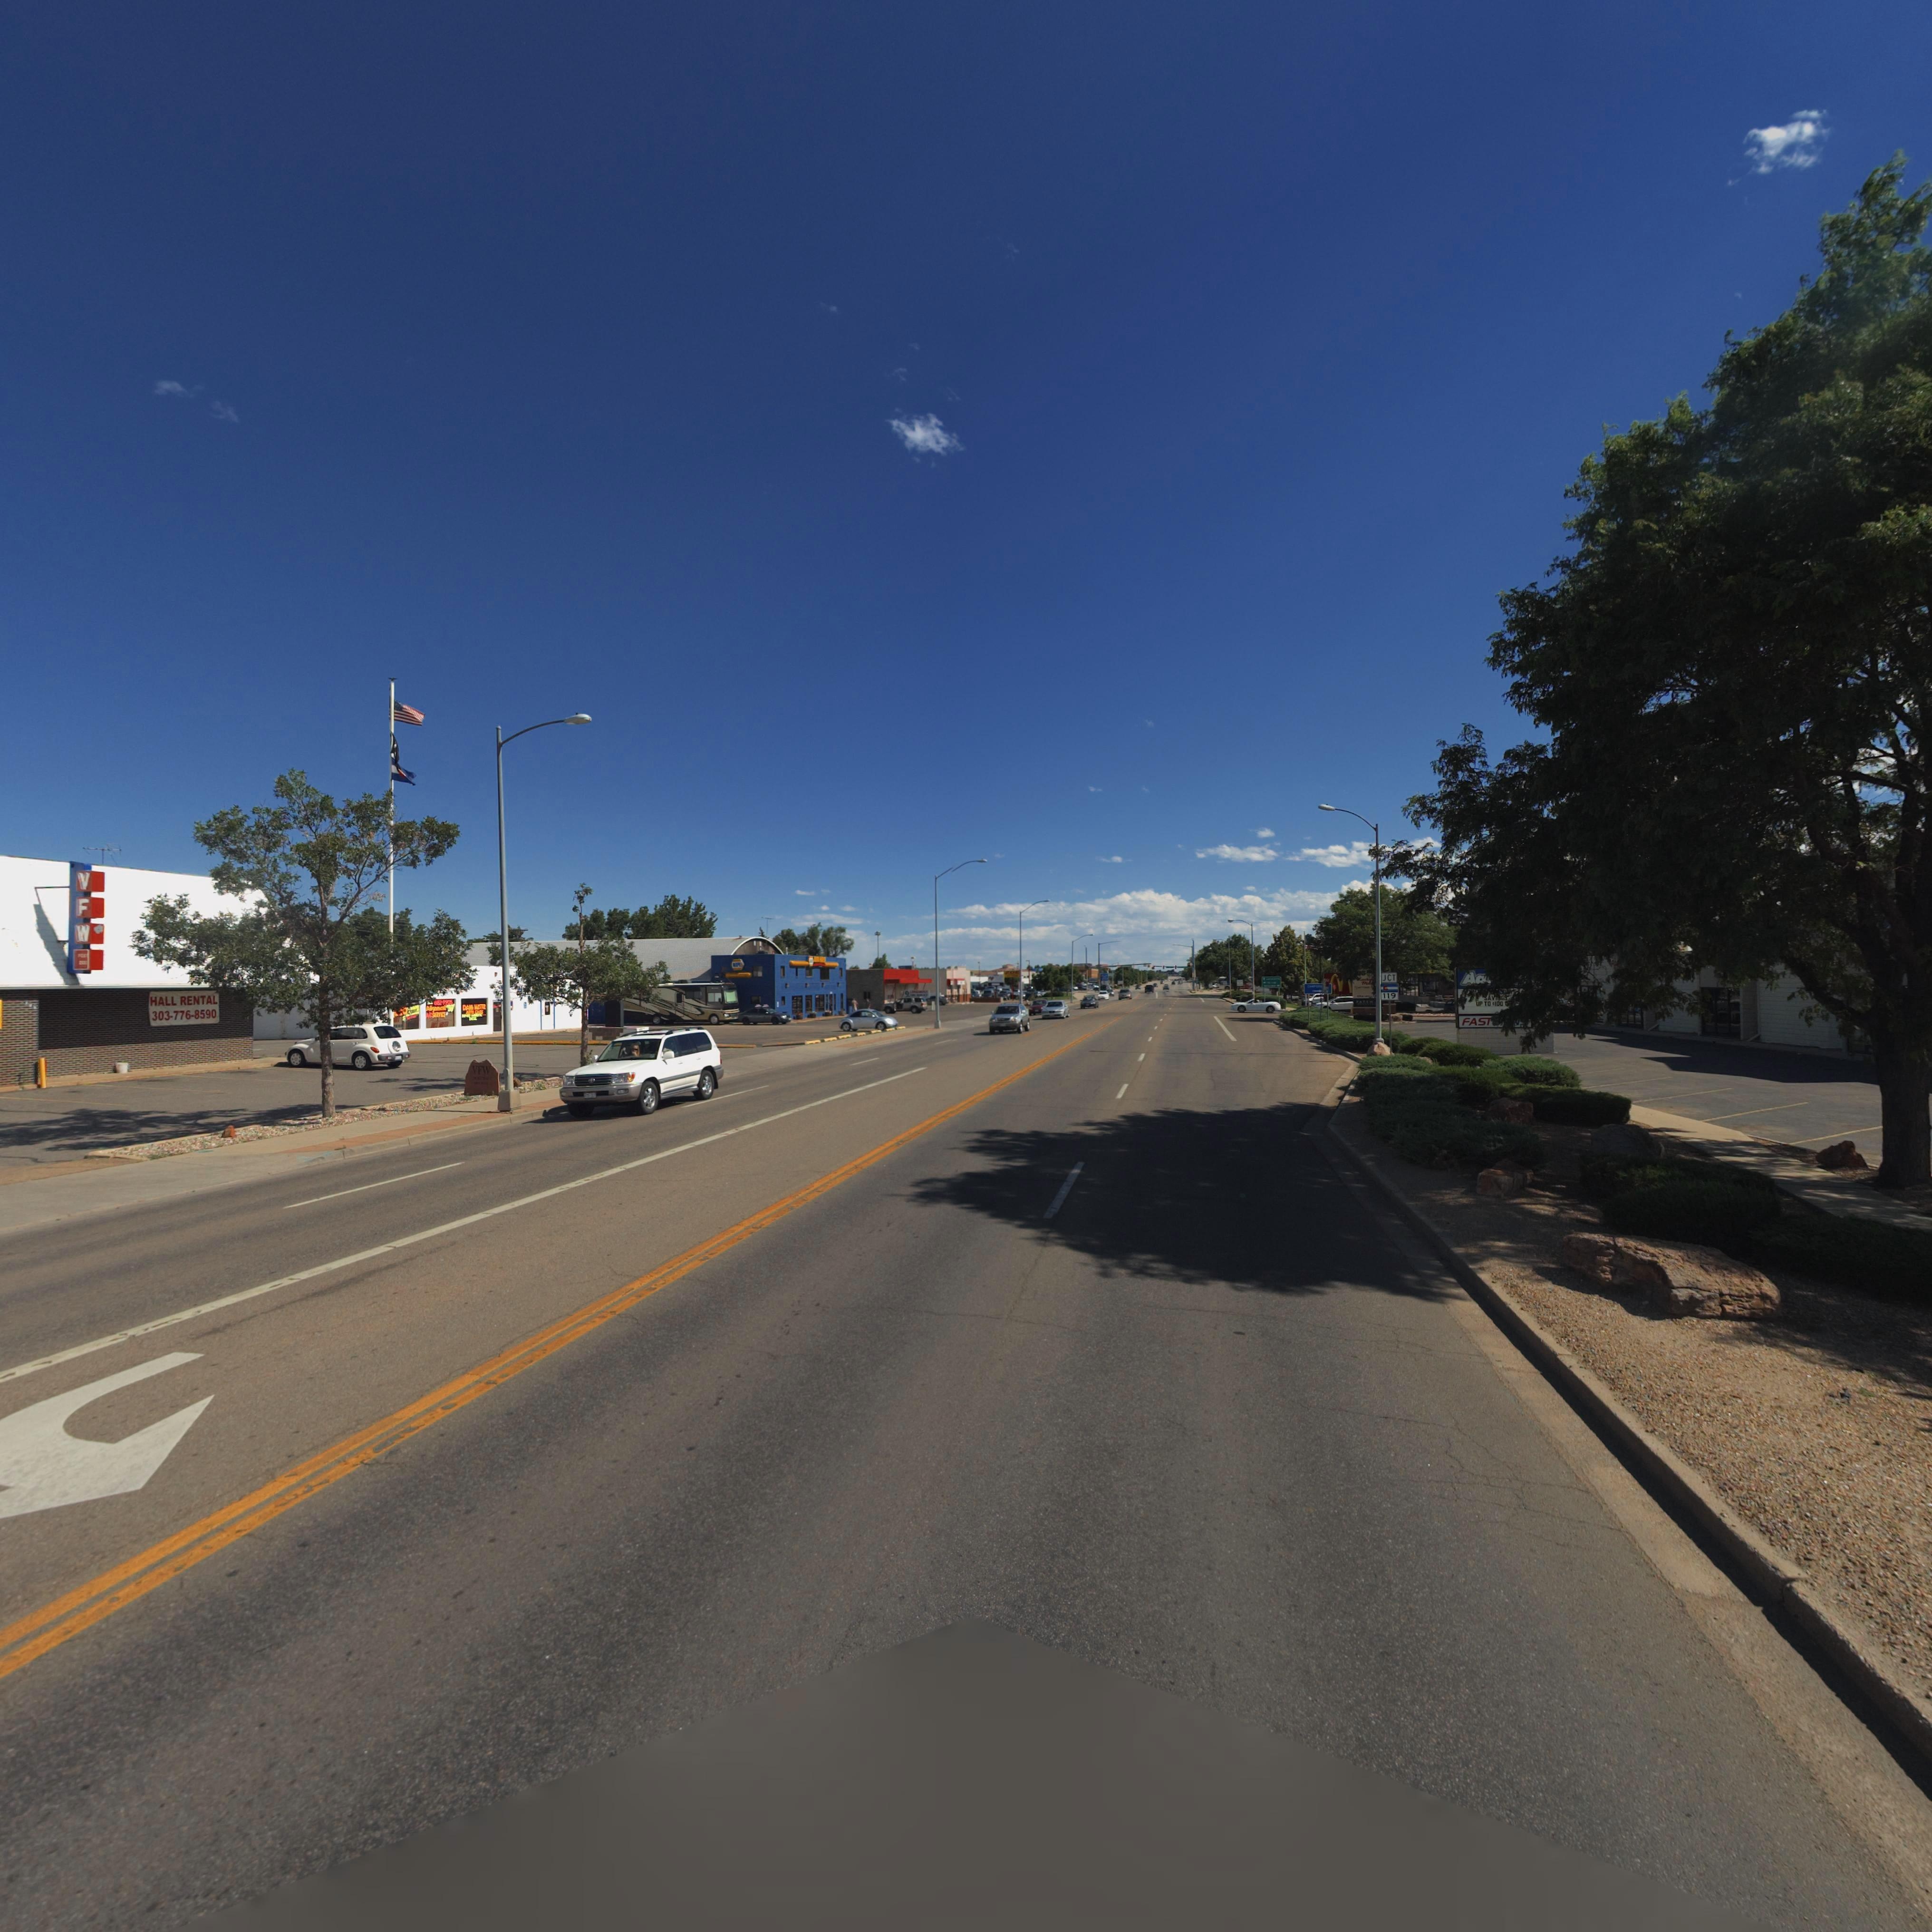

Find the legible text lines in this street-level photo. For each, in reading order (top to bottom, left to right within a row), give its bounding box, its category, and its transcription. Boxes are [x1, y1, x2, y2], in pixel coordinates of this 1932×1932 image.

[75, 871, 91, 942] BusinessName: VFW
[732, 962, 741, 967] BusinessName: **P*
[1005, 970, 1020, 974] BusinessName: ZOE
[1459, 971, 1487, 985] BusinessName: Aa
[1461, 1017, 1527, 1026] BusinessName: FAST***N*
[472, 1065, 491, 1075] BusinessName: VFW